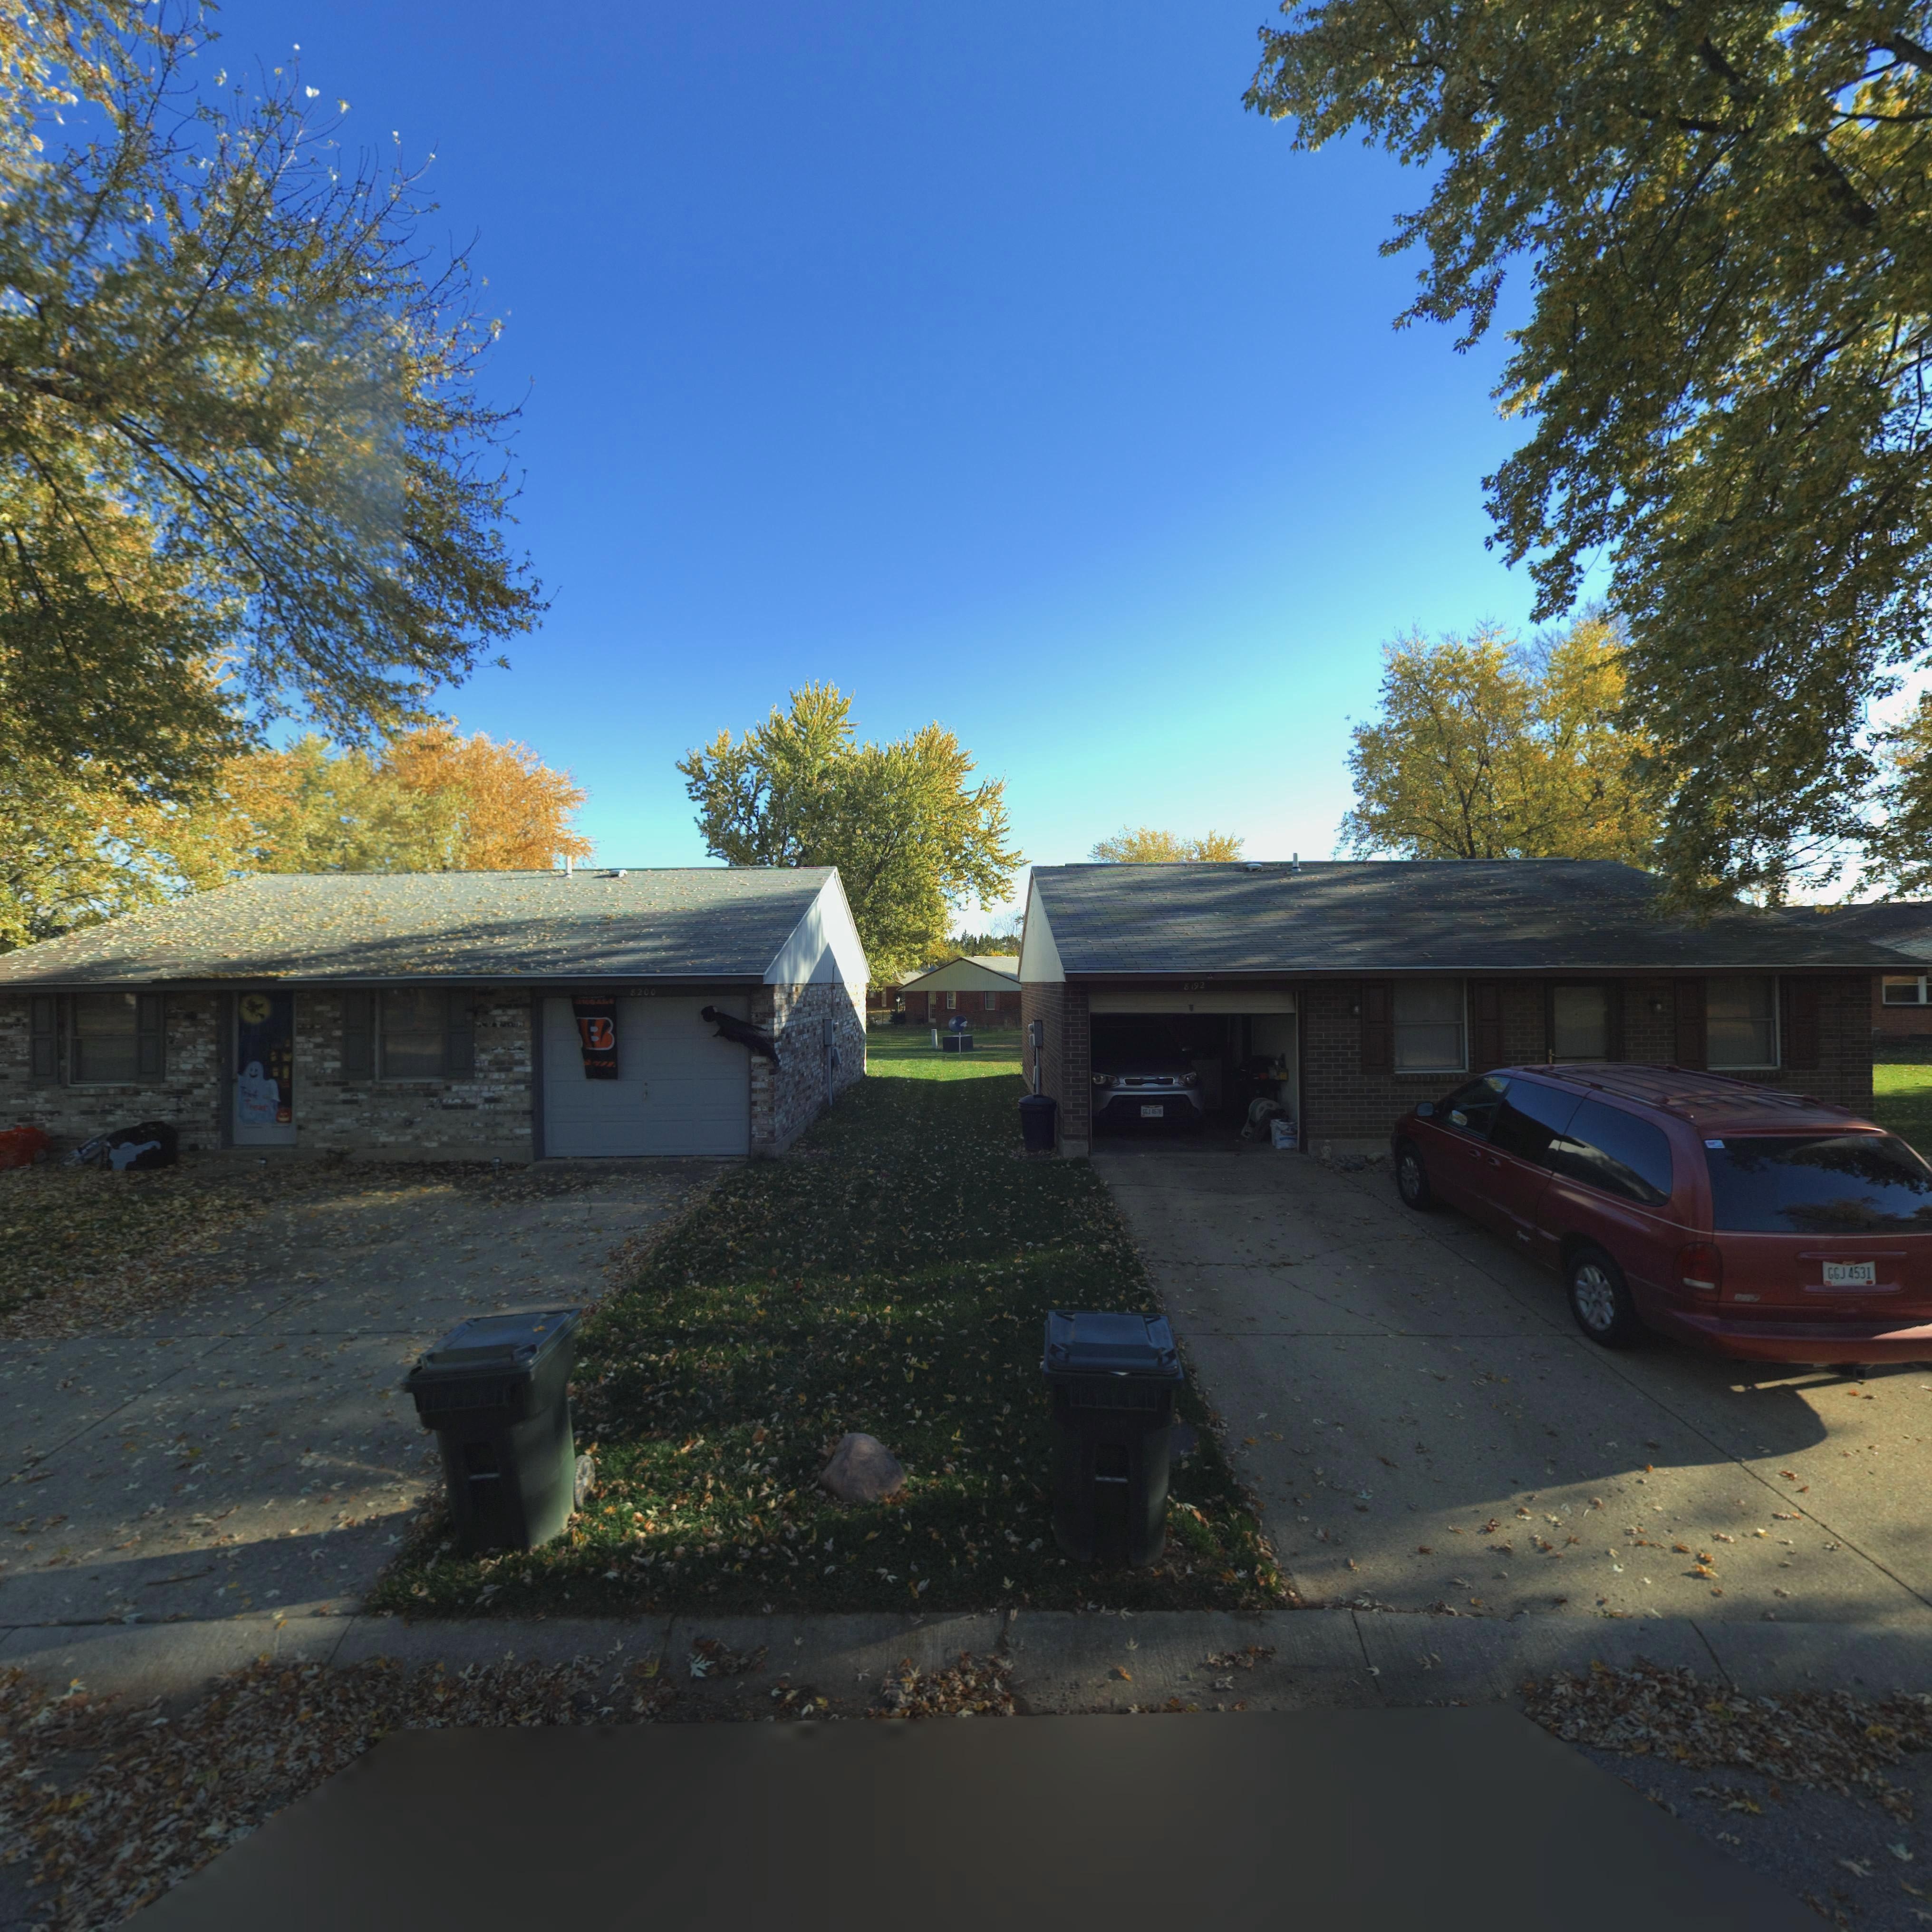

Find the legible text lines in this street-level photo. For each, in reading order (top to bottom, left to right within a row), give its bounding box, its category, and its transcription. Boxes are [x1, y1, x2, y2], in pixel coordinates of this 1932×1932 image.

[1183, 981, 1206, 990] StreetNumber: 8192
[629, 988, 657, 997] StreetNumber: 8200